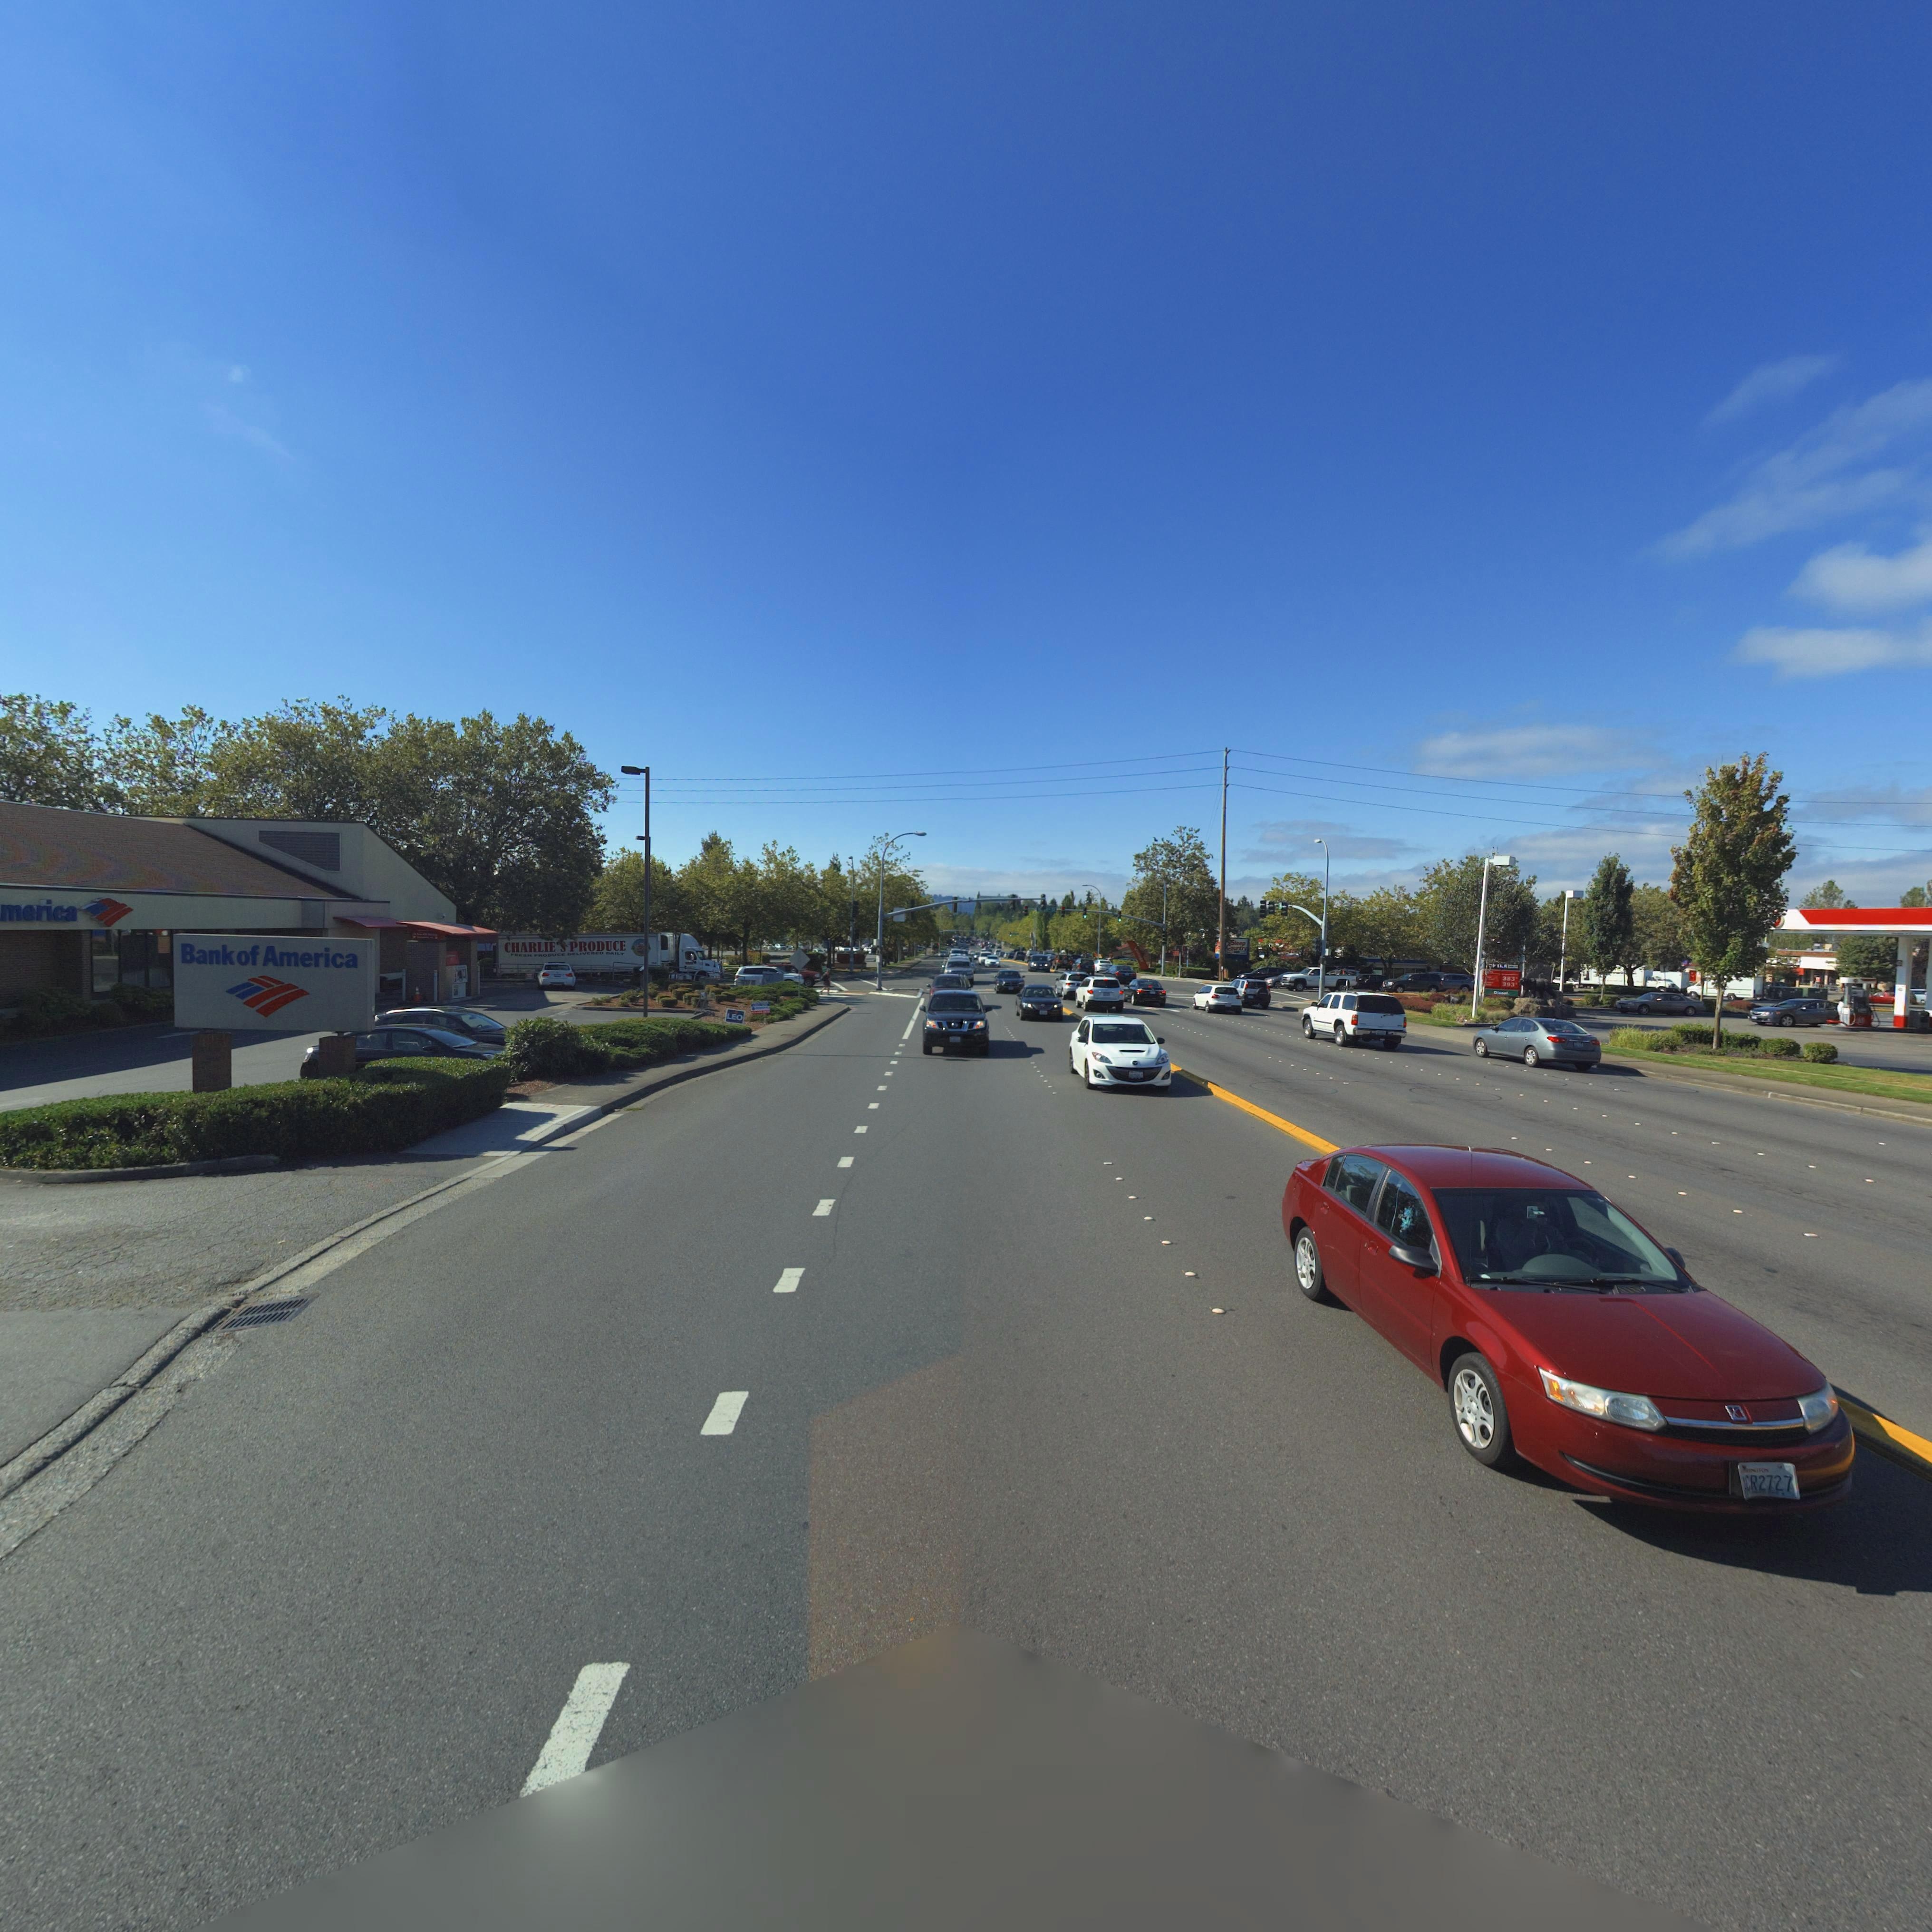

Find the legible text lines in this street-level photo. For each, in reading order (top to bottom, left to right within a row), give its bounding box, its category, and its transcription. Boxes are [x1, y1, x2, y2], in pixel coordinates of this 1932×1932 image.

[1, 898, 78, 922] BusinessName: merica
[180, 940, 360, 971] BusinessName: Bank of America
[1226, 944, 1248, 950] BusinessName: Country
[1230, 939, 1246, 946] BusinessName: Sleep